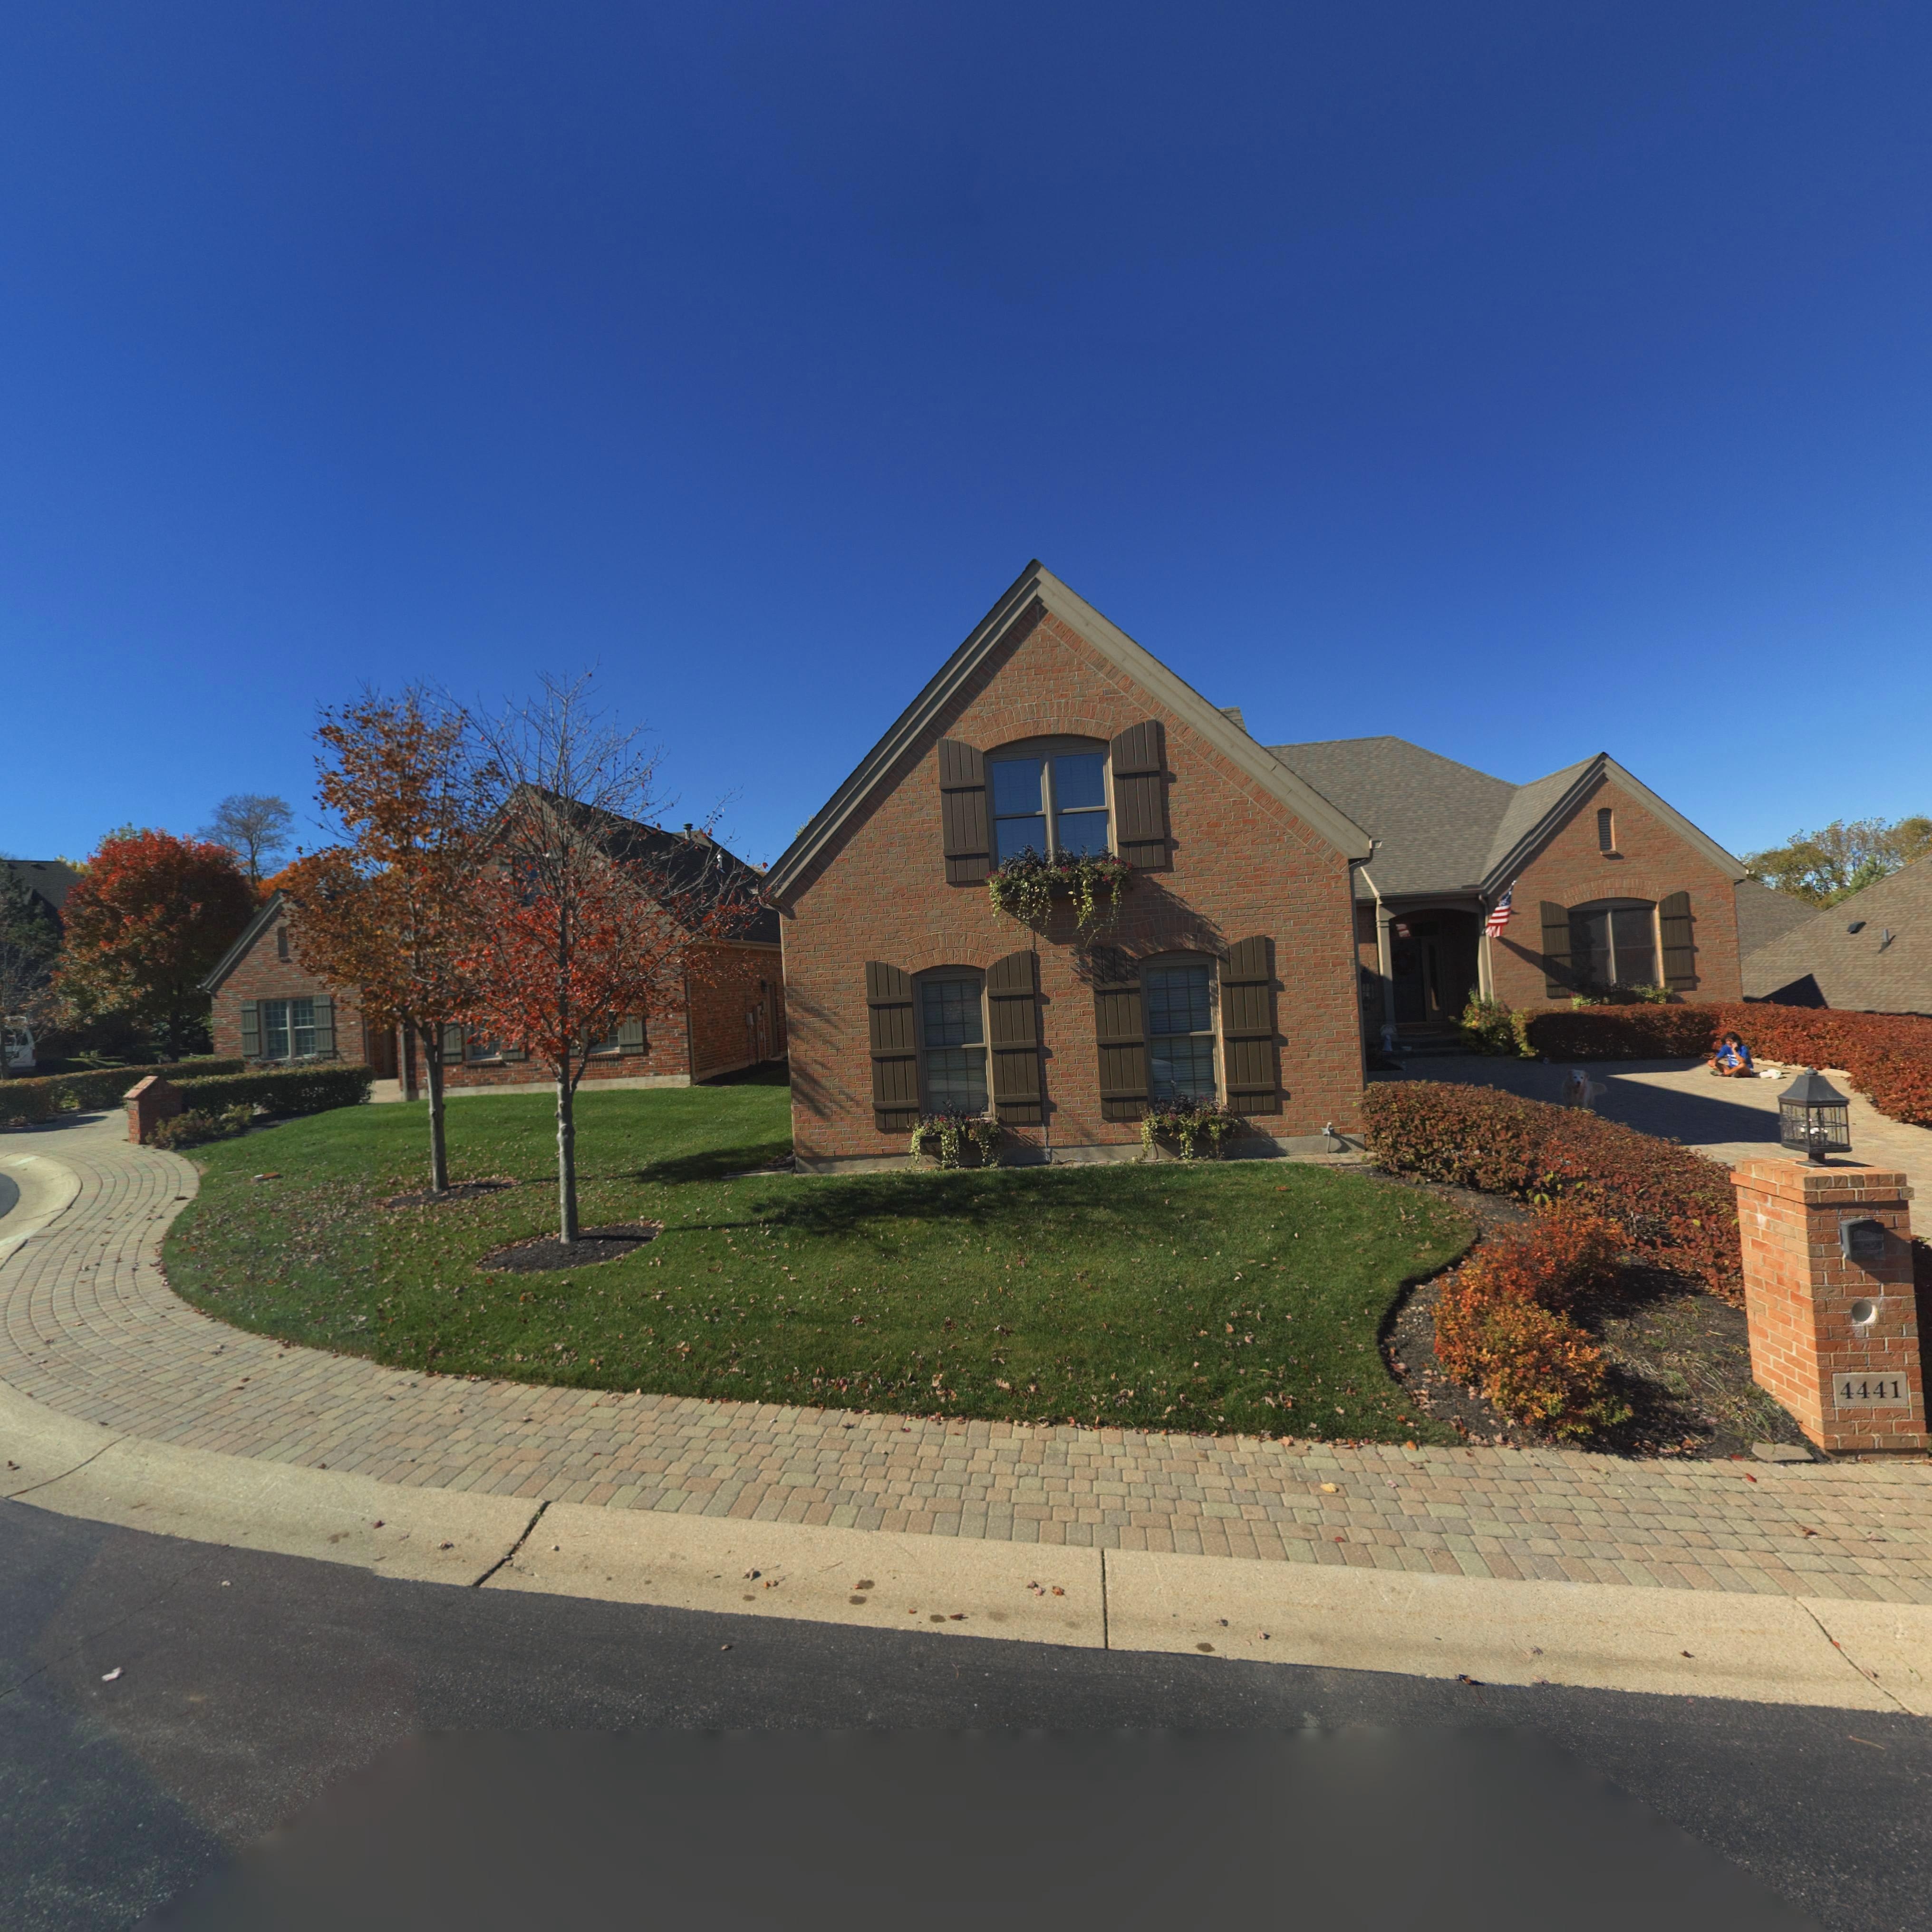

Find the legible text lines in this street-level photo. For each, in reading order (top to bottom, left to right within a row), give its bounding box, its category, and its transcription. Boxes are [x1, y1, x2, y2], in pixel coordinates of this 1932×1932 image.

[1839, 1379, 1903, 1401] StreetNumber: 4441